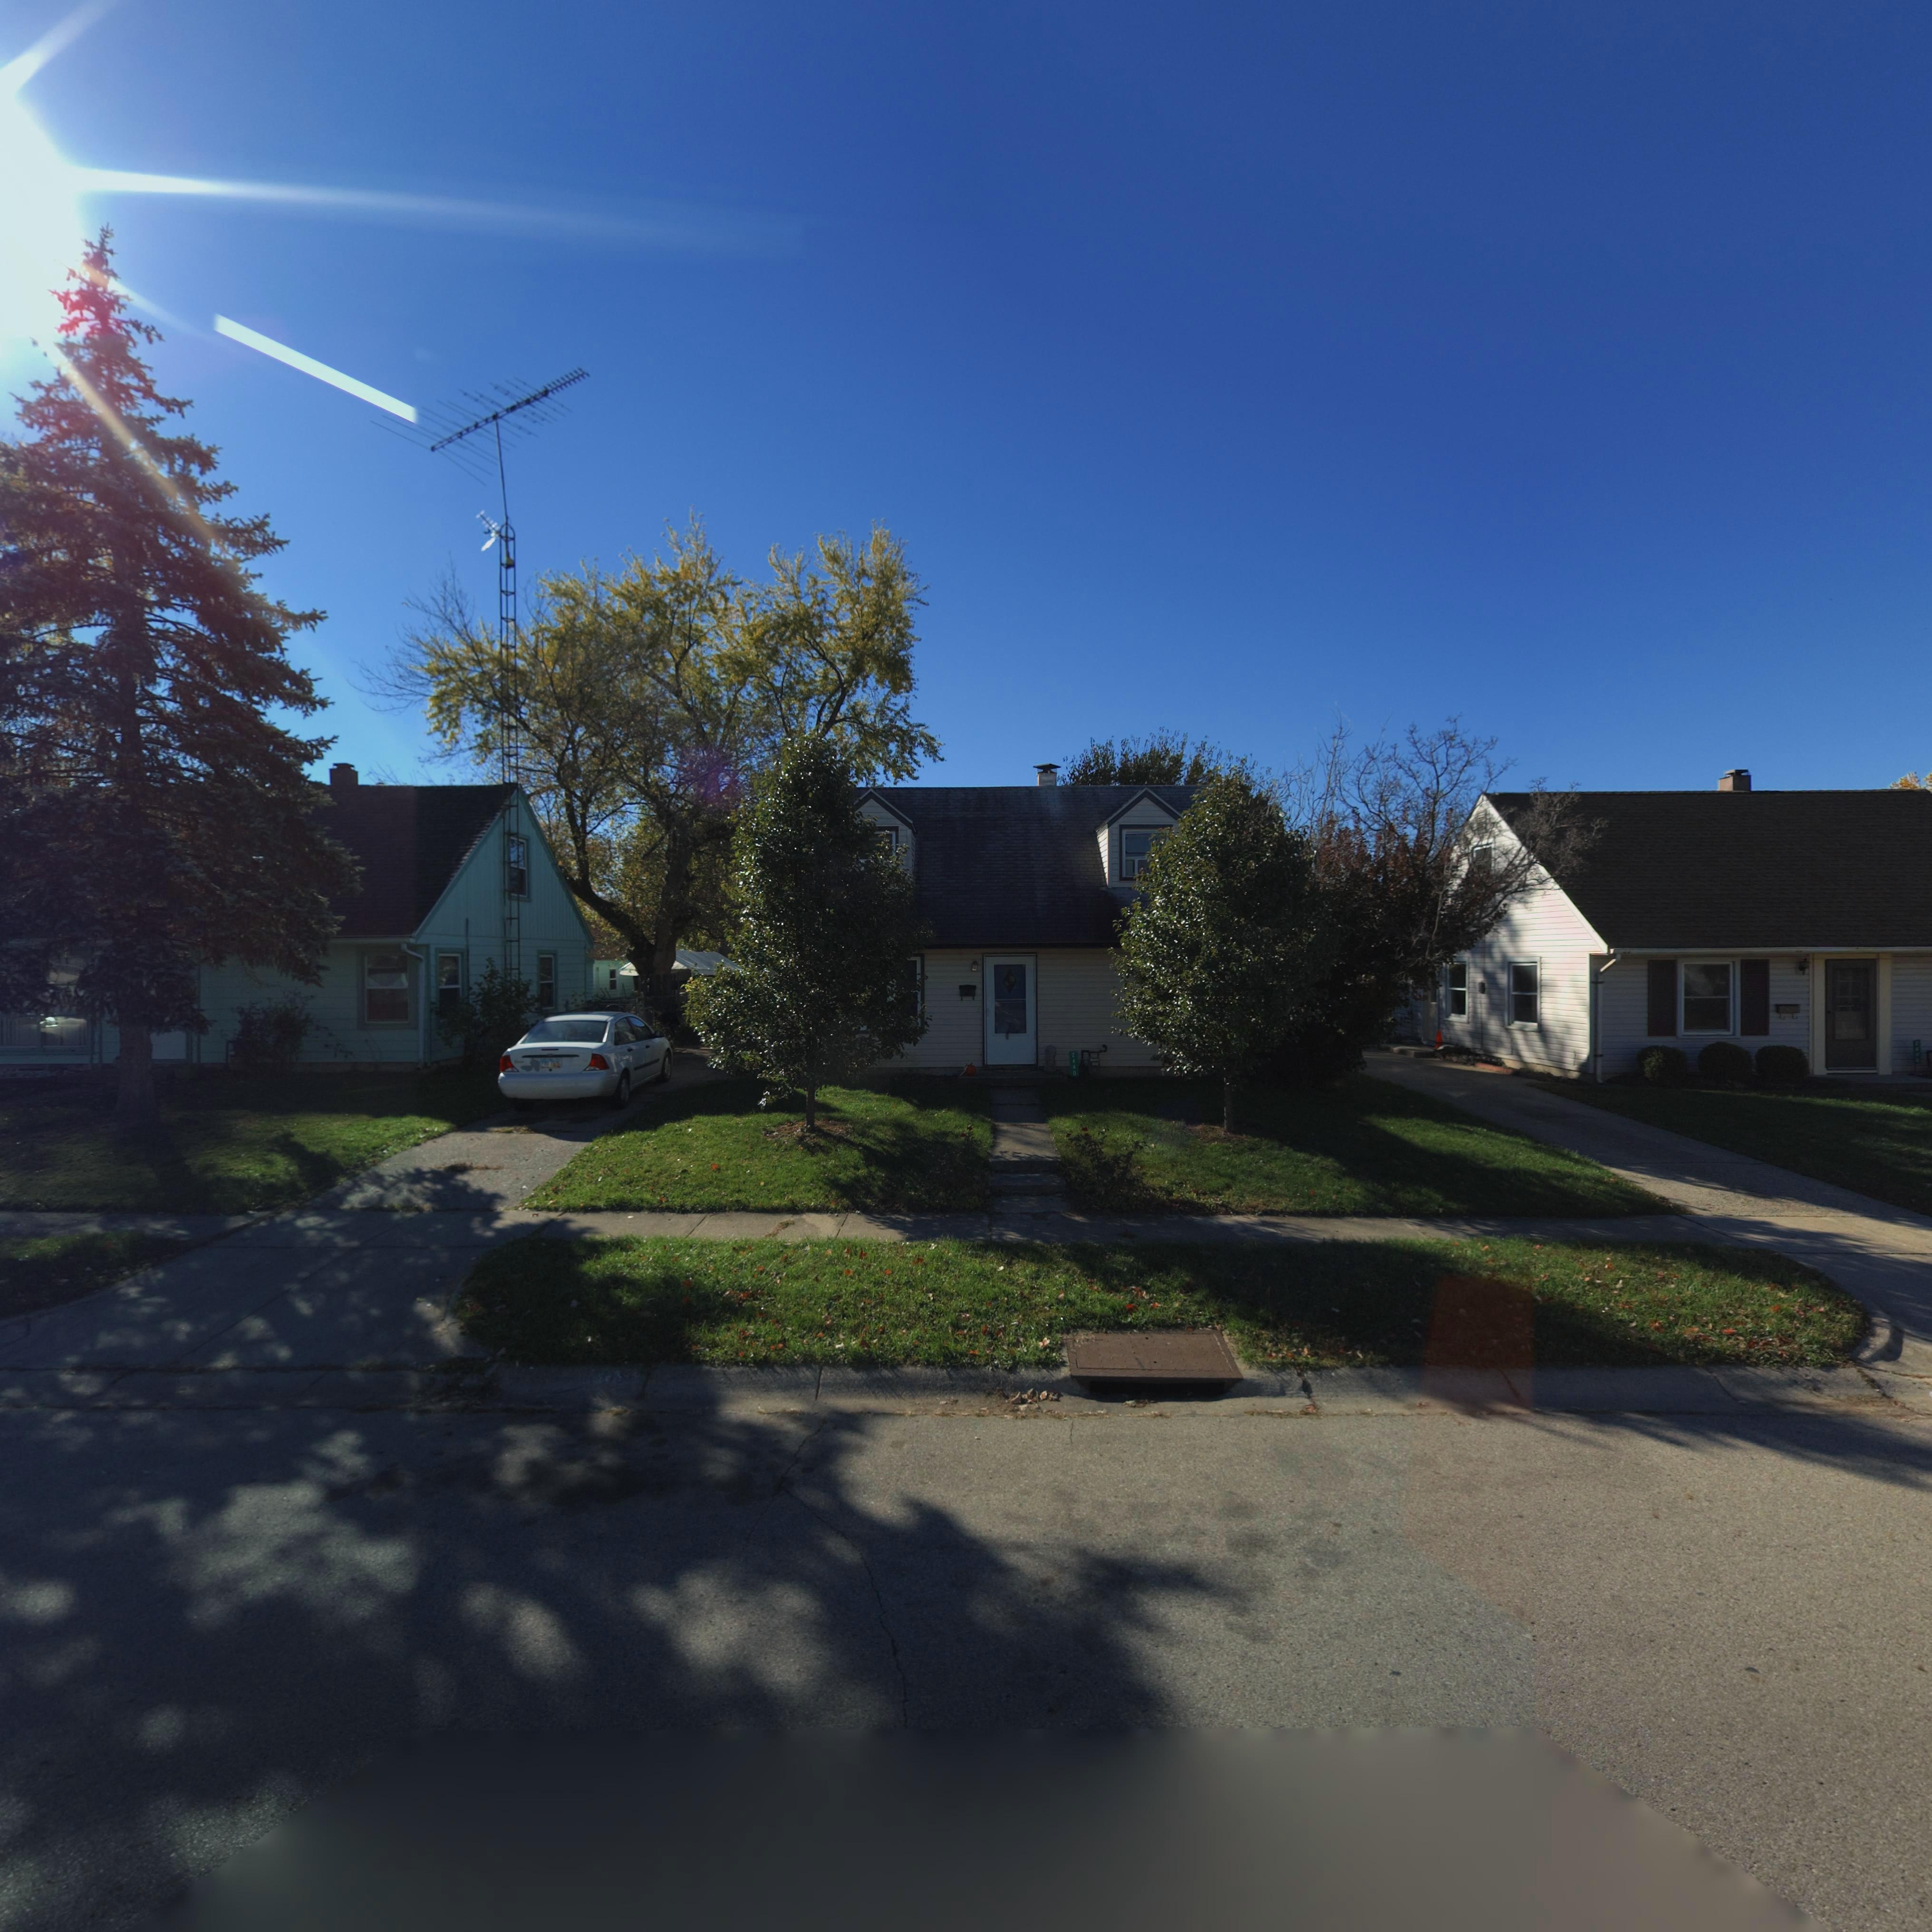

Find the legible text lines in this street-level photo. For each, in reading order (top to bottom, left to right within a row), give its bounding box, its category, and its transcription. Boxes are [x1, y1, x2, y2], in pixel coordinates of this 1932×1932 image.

[1914, 1040, 1920, 1063] StreetNumber: 2444
[1071, 1052, 1077, 1077] StreetNumber: 2440